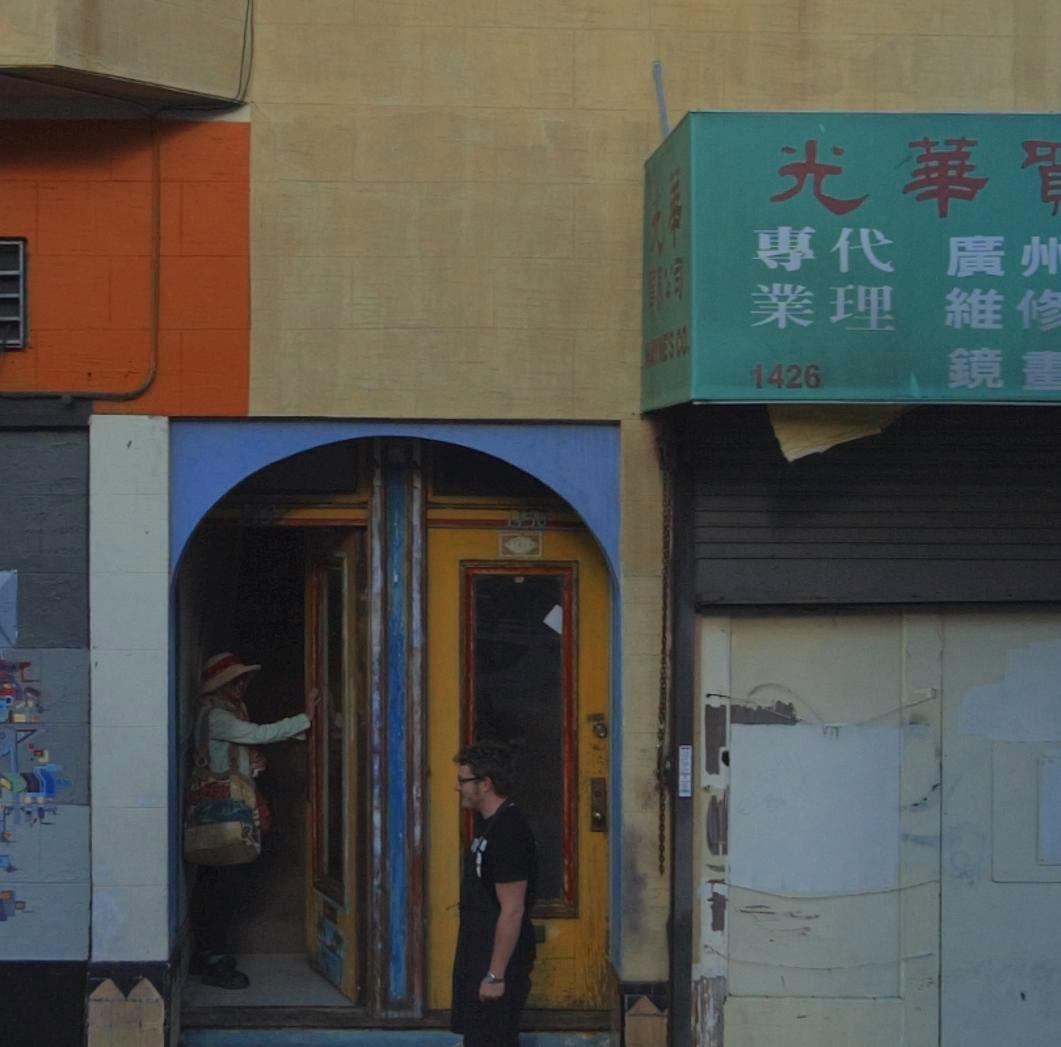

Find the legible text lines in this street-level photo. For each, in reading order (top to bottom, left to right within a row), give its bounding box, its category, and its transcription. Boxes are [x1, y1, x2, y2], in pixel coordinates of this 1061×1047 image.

[659, 323, 692, 364] None: ES CO.
[749, 363, 824, 390] StreetNumber: 1426
[505, 508, 547, 530] StreetNumber: 1430